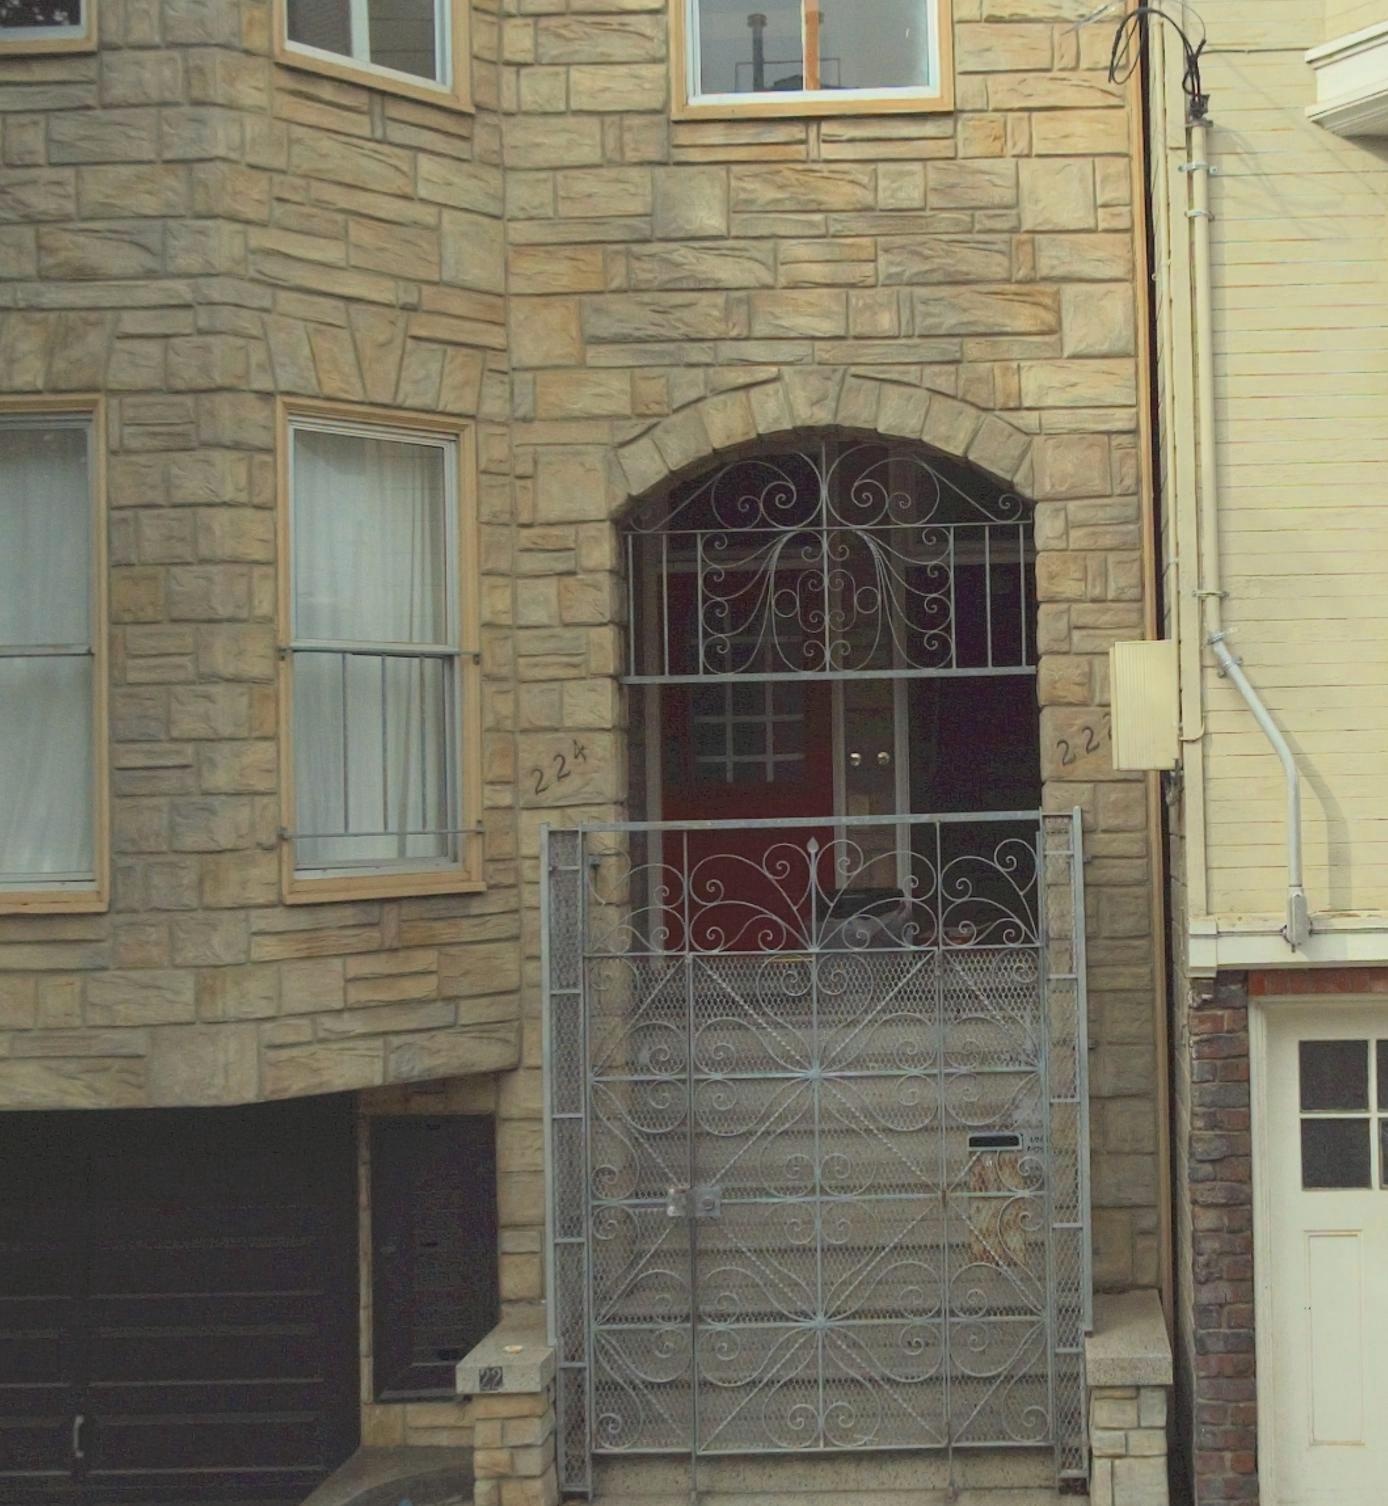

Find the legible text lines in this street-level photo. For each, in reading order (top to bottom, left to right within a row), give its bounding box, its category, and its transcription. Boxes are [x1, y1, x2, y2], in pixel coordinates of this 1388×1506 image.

[526, 734, 598, 800] StreetNumber: 224
[1053, 720, 1104, 770] StreetNumber: 22
[478, 1366, 503, 1391] StreetNumber: 22